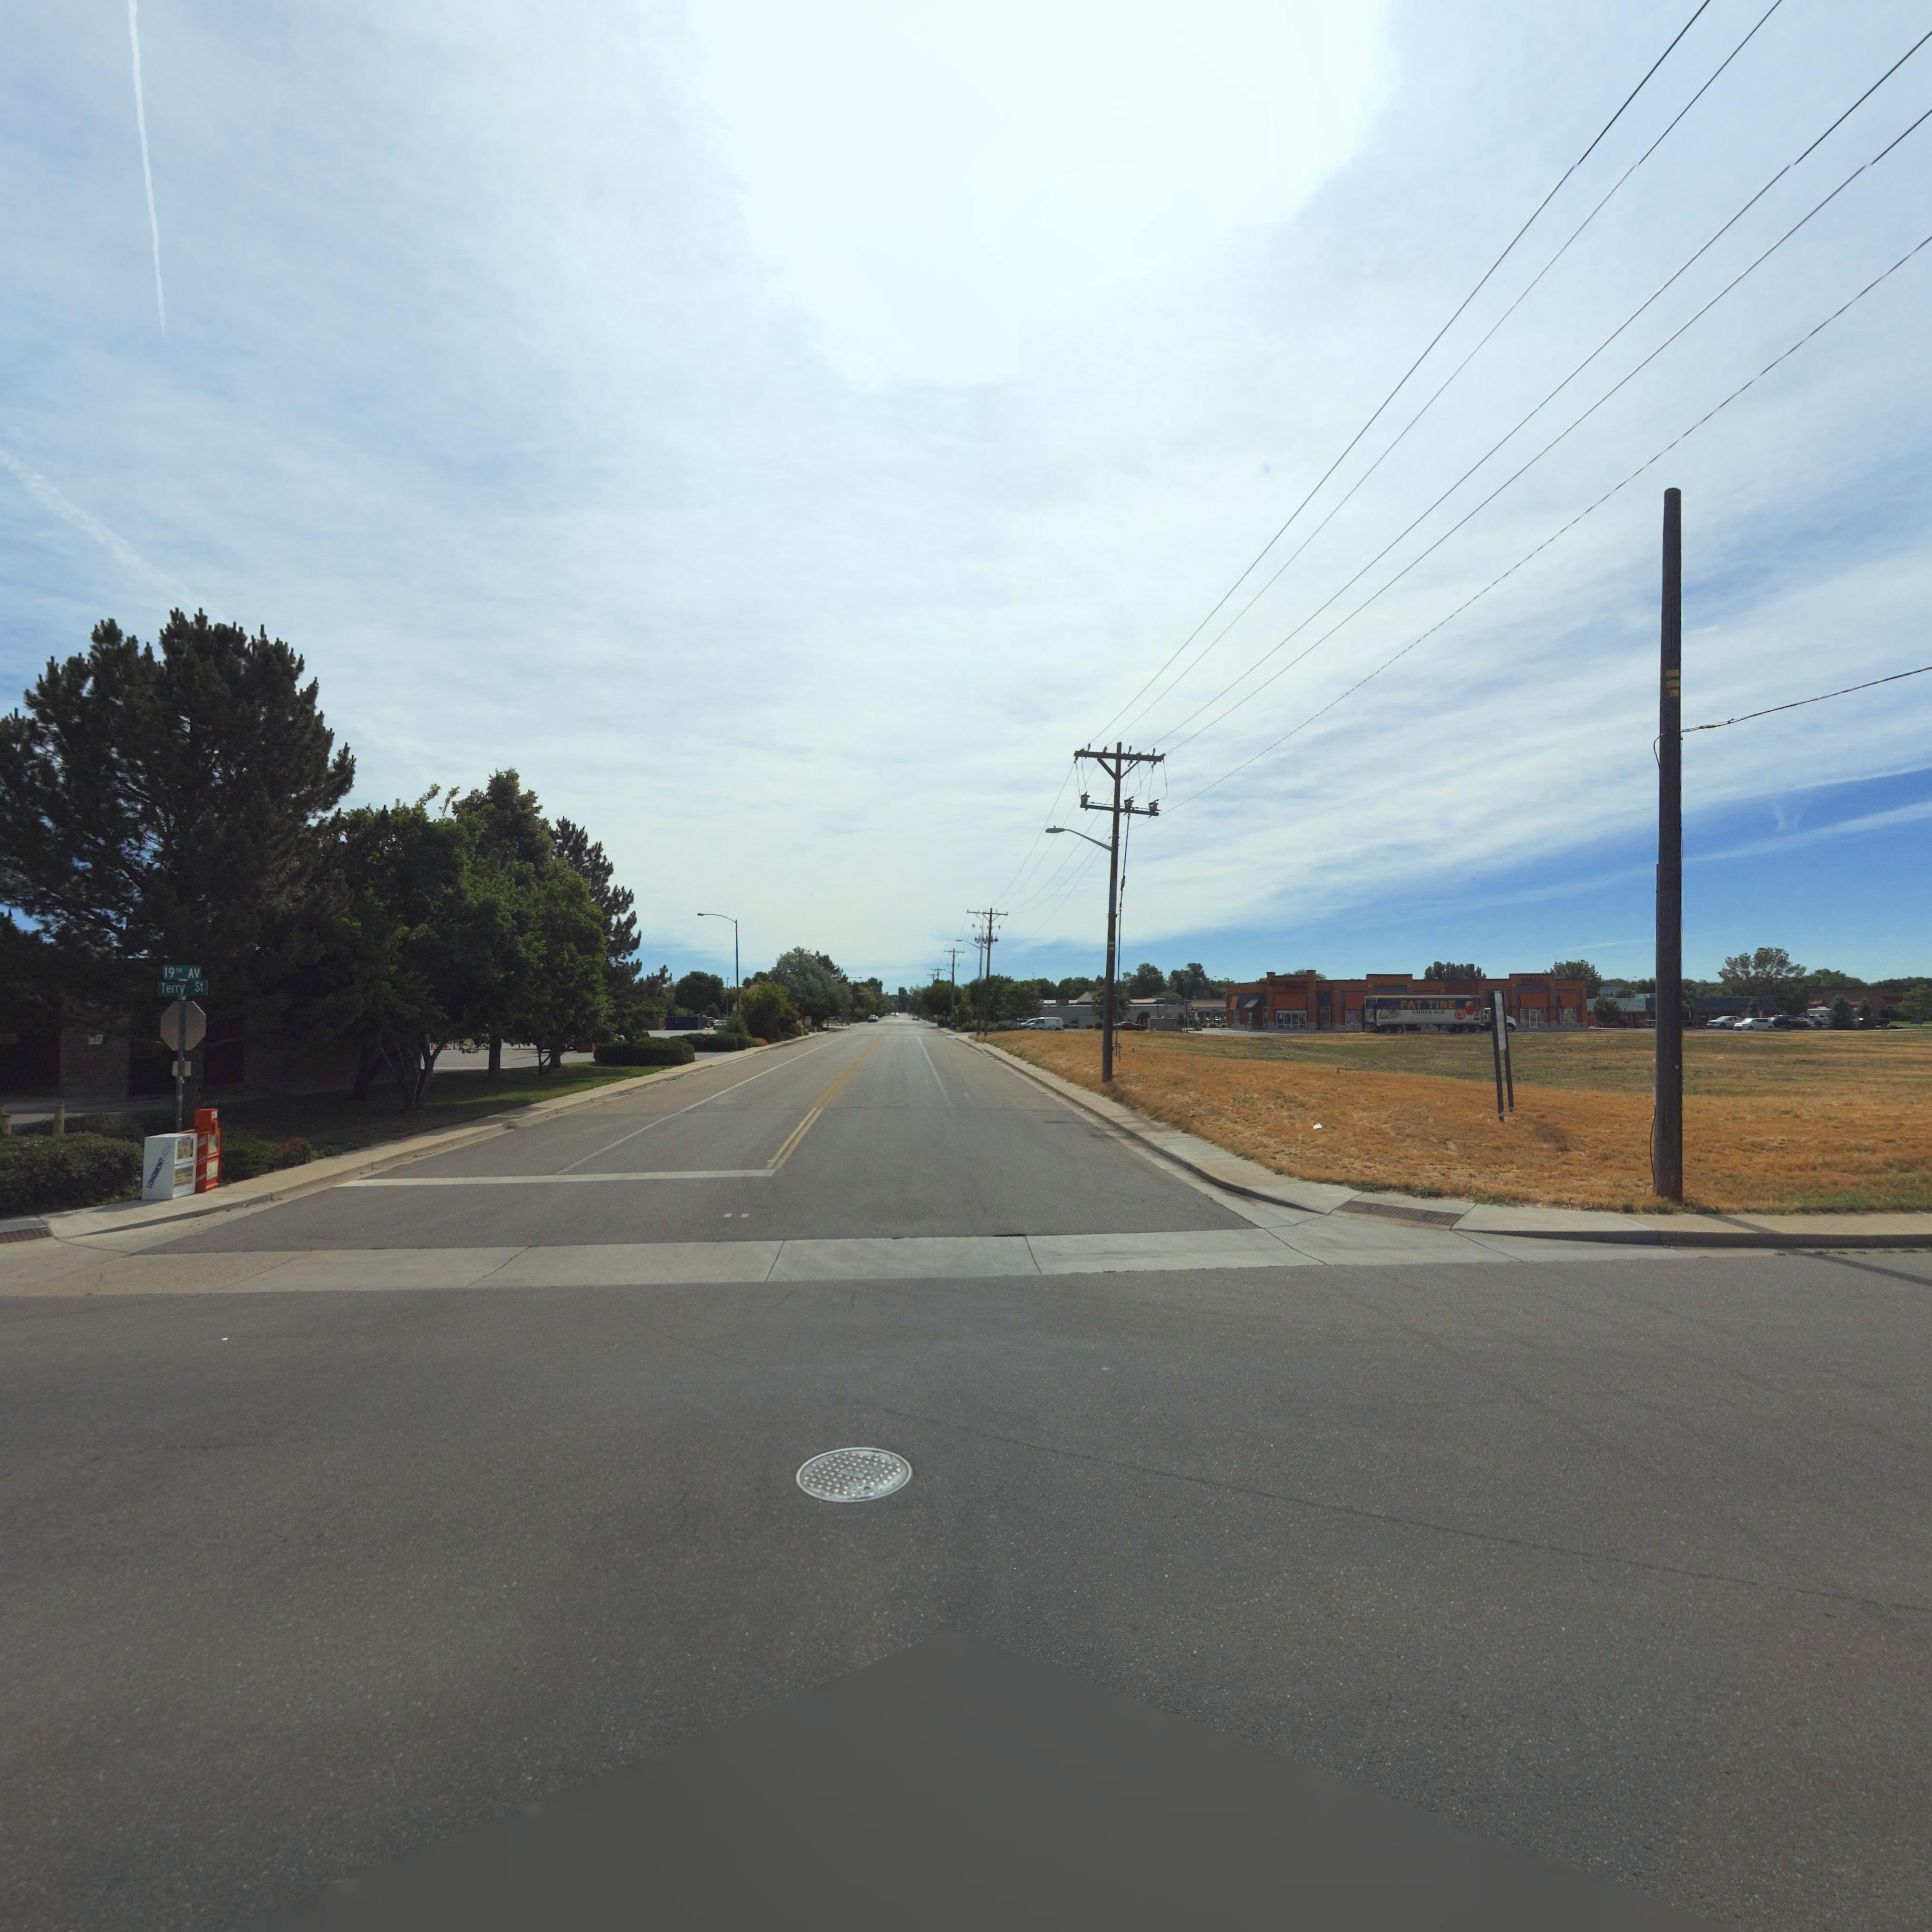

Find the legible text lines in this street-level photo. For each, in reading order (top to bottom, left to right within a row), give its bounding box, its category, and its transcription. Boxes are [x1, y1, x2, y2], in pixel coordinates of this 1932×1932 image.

[164, 966, 200, 978] StreetName: 19TH AV
[160, 981, 204, 995] StreetName: Terry St